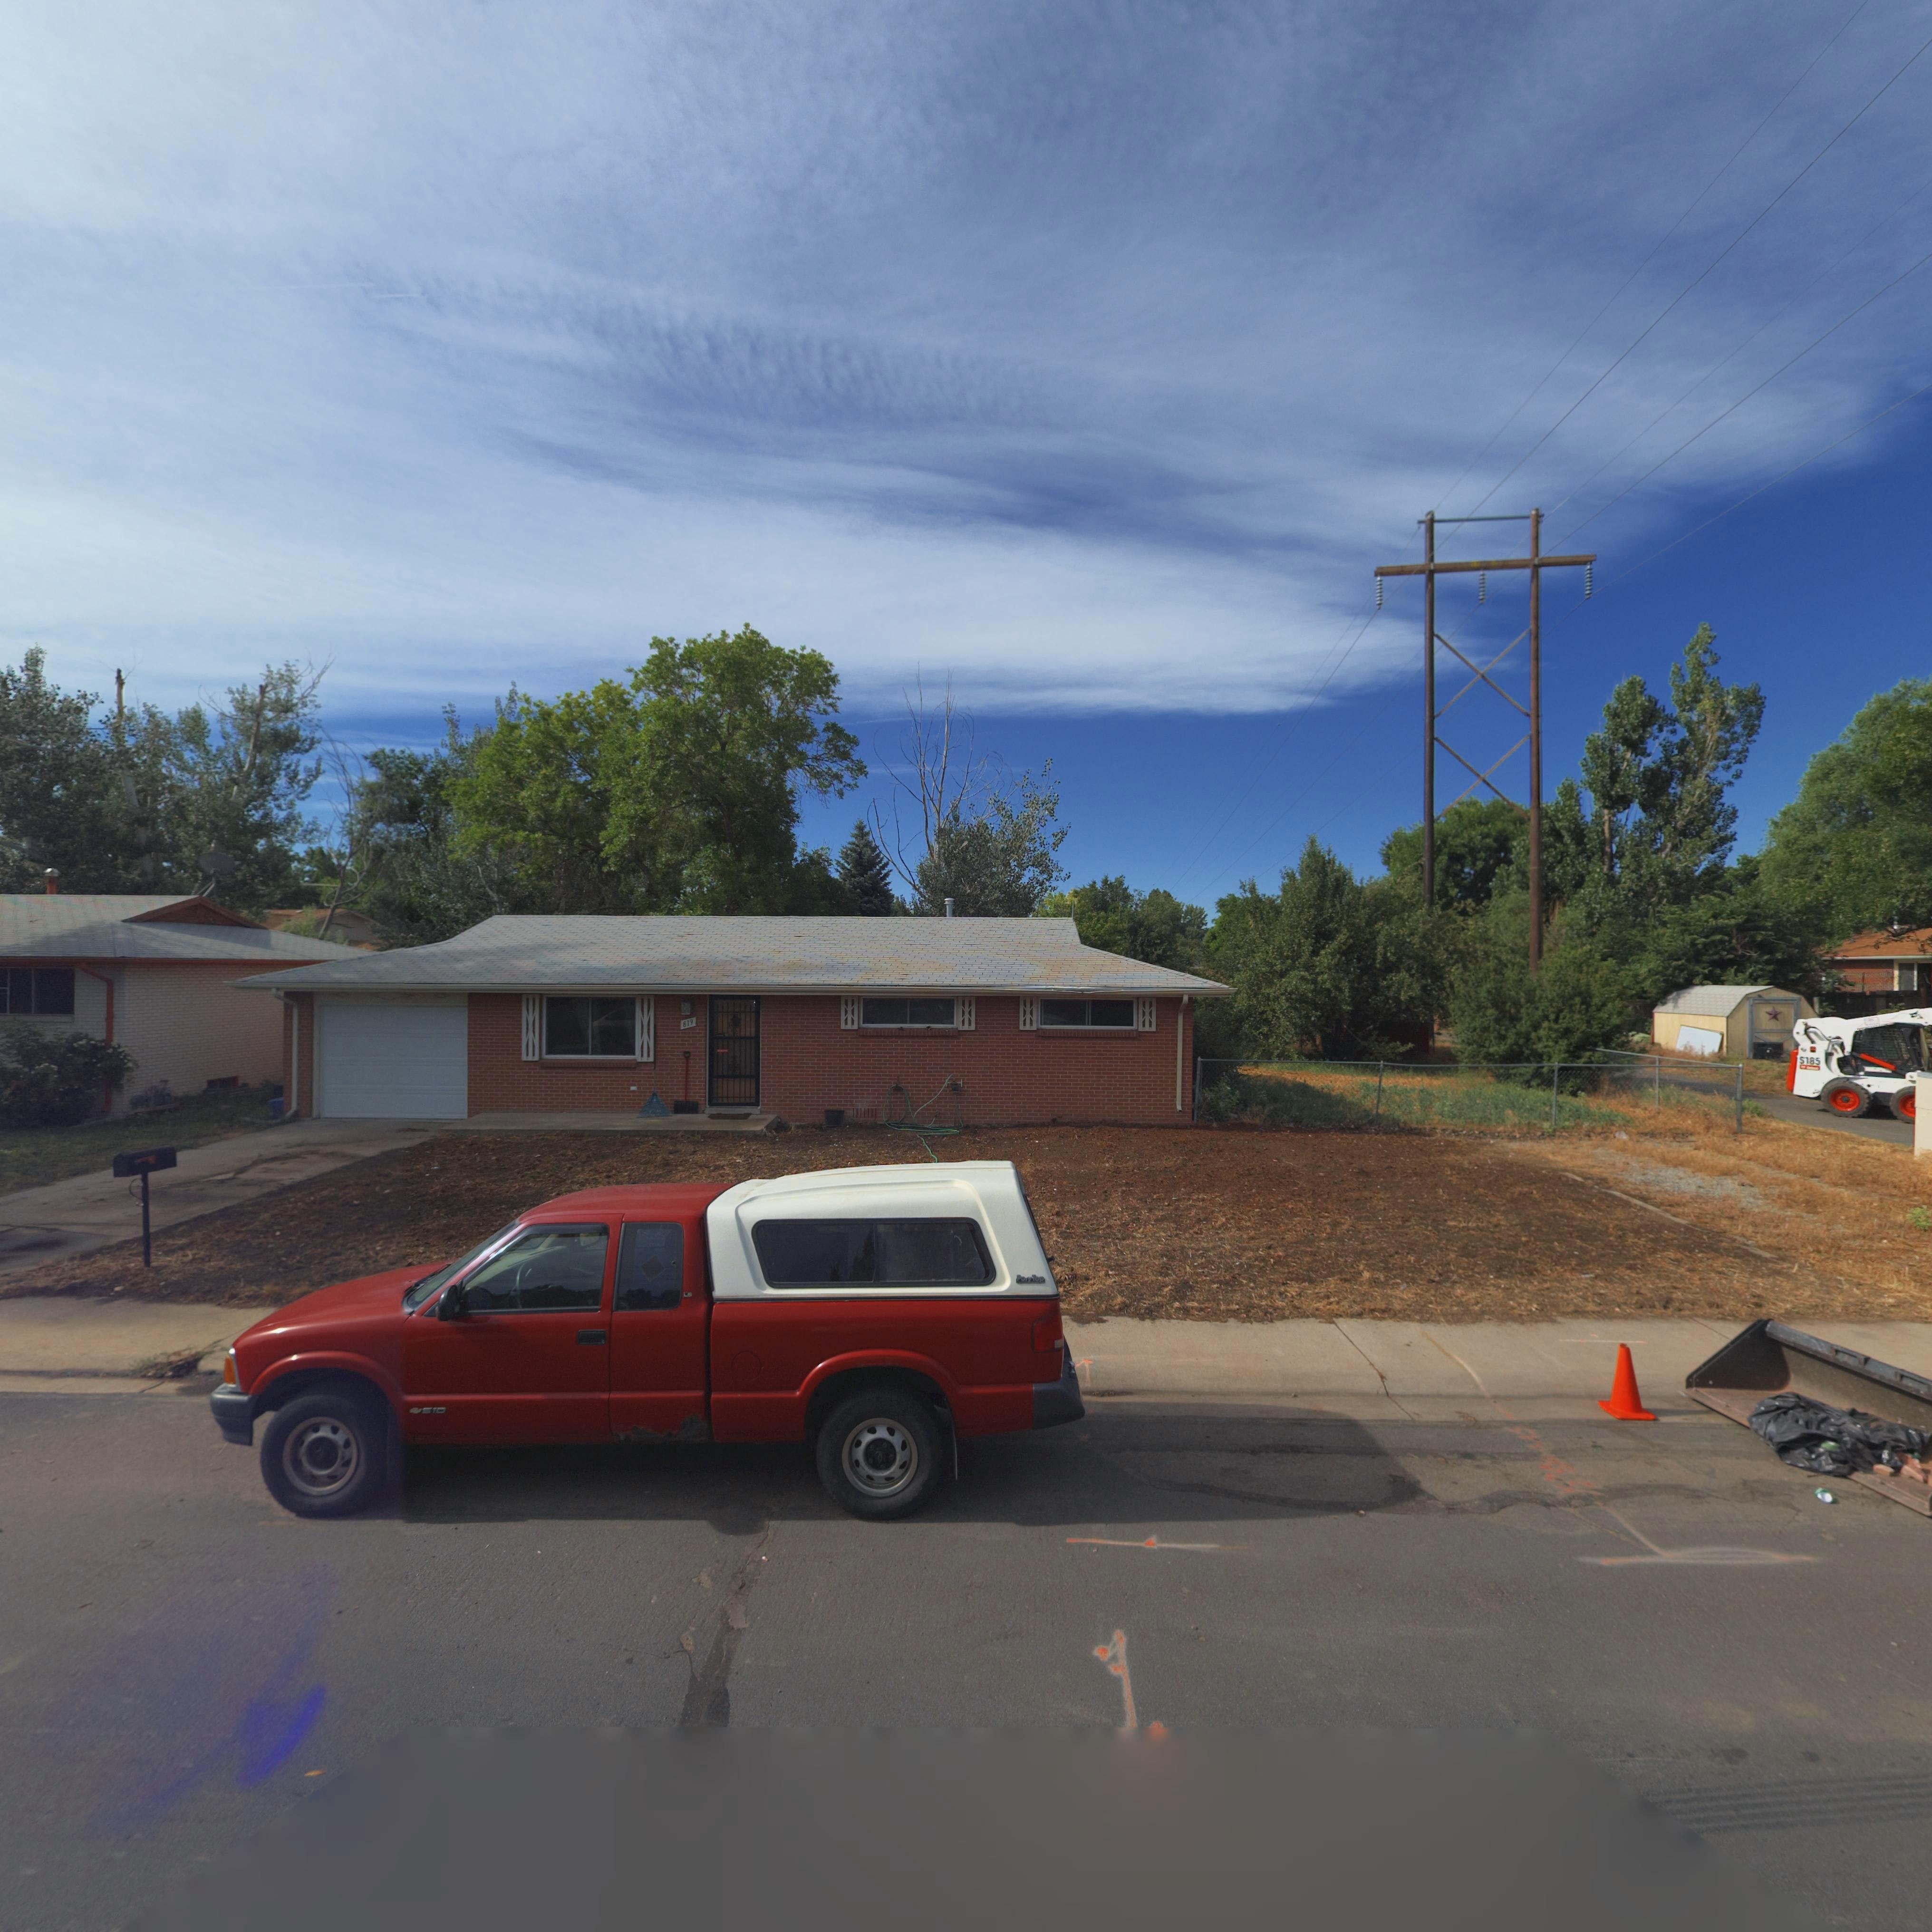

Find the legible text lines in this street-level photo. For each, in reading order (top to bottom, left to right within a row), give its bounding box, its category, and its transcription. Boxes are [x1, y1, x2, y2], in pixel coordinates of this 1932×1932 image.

[682, 1018, 693, 1028] StreetNumber: 819